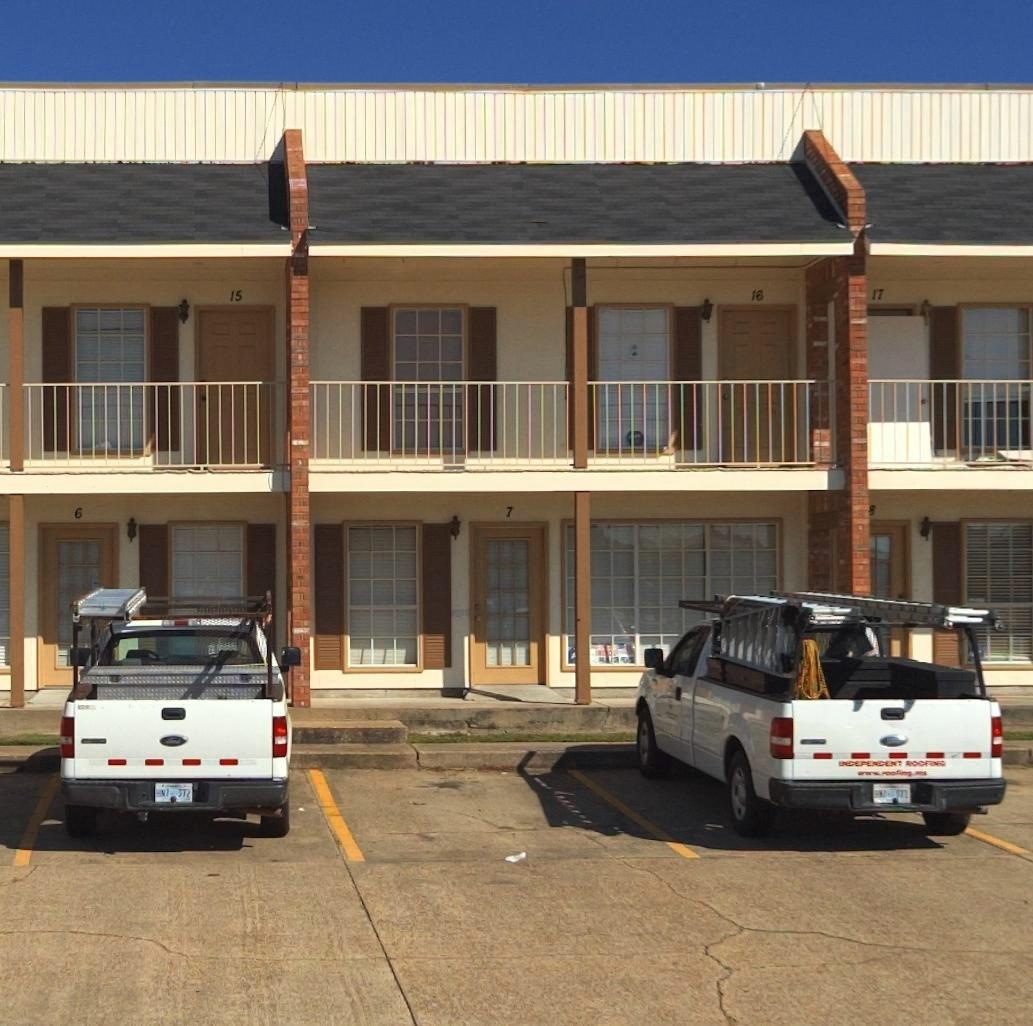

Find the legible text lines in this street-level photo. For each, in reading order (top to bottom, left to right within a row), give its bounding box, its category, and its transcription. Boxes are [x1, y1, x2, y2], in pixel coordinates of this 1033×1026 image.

[226, 287, 245, 304] StreetNumber: 15
[748, 287, 767, 304] StreetNumber: 16
[869, 286, 887, 303] StreetNumber: 17
[72, 504, 85, 523] StreetNumber: 6
[504, 504, 518, 519] StreetNumber: 7
[859, 758, 949, 769] None: PENDENT ROOFING
[176, 787, 193, 799] None: 3*2